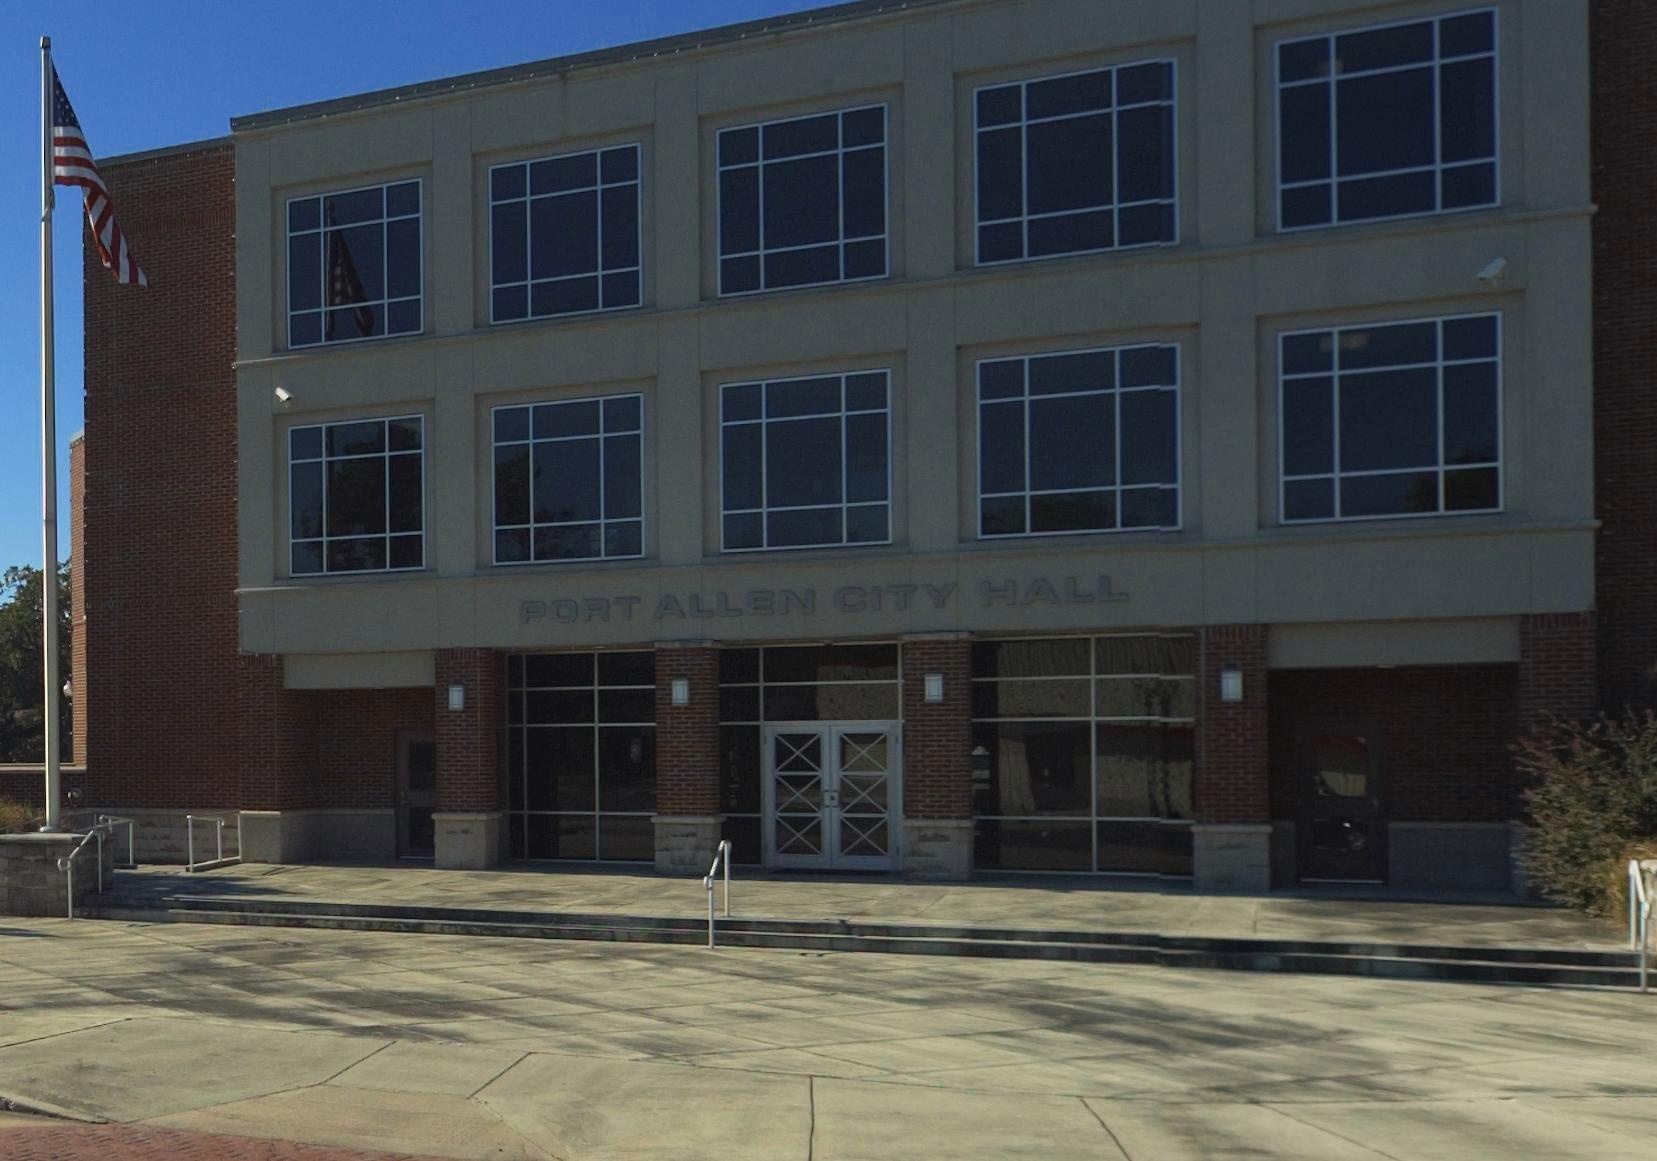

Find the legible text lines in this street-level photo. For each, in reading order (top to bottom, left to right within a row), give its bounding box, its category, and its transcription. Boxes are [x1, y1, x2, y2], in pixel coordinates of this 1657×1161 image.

[516, 572, 1133, 628] BusinessName: PORT ALL CITY HALL